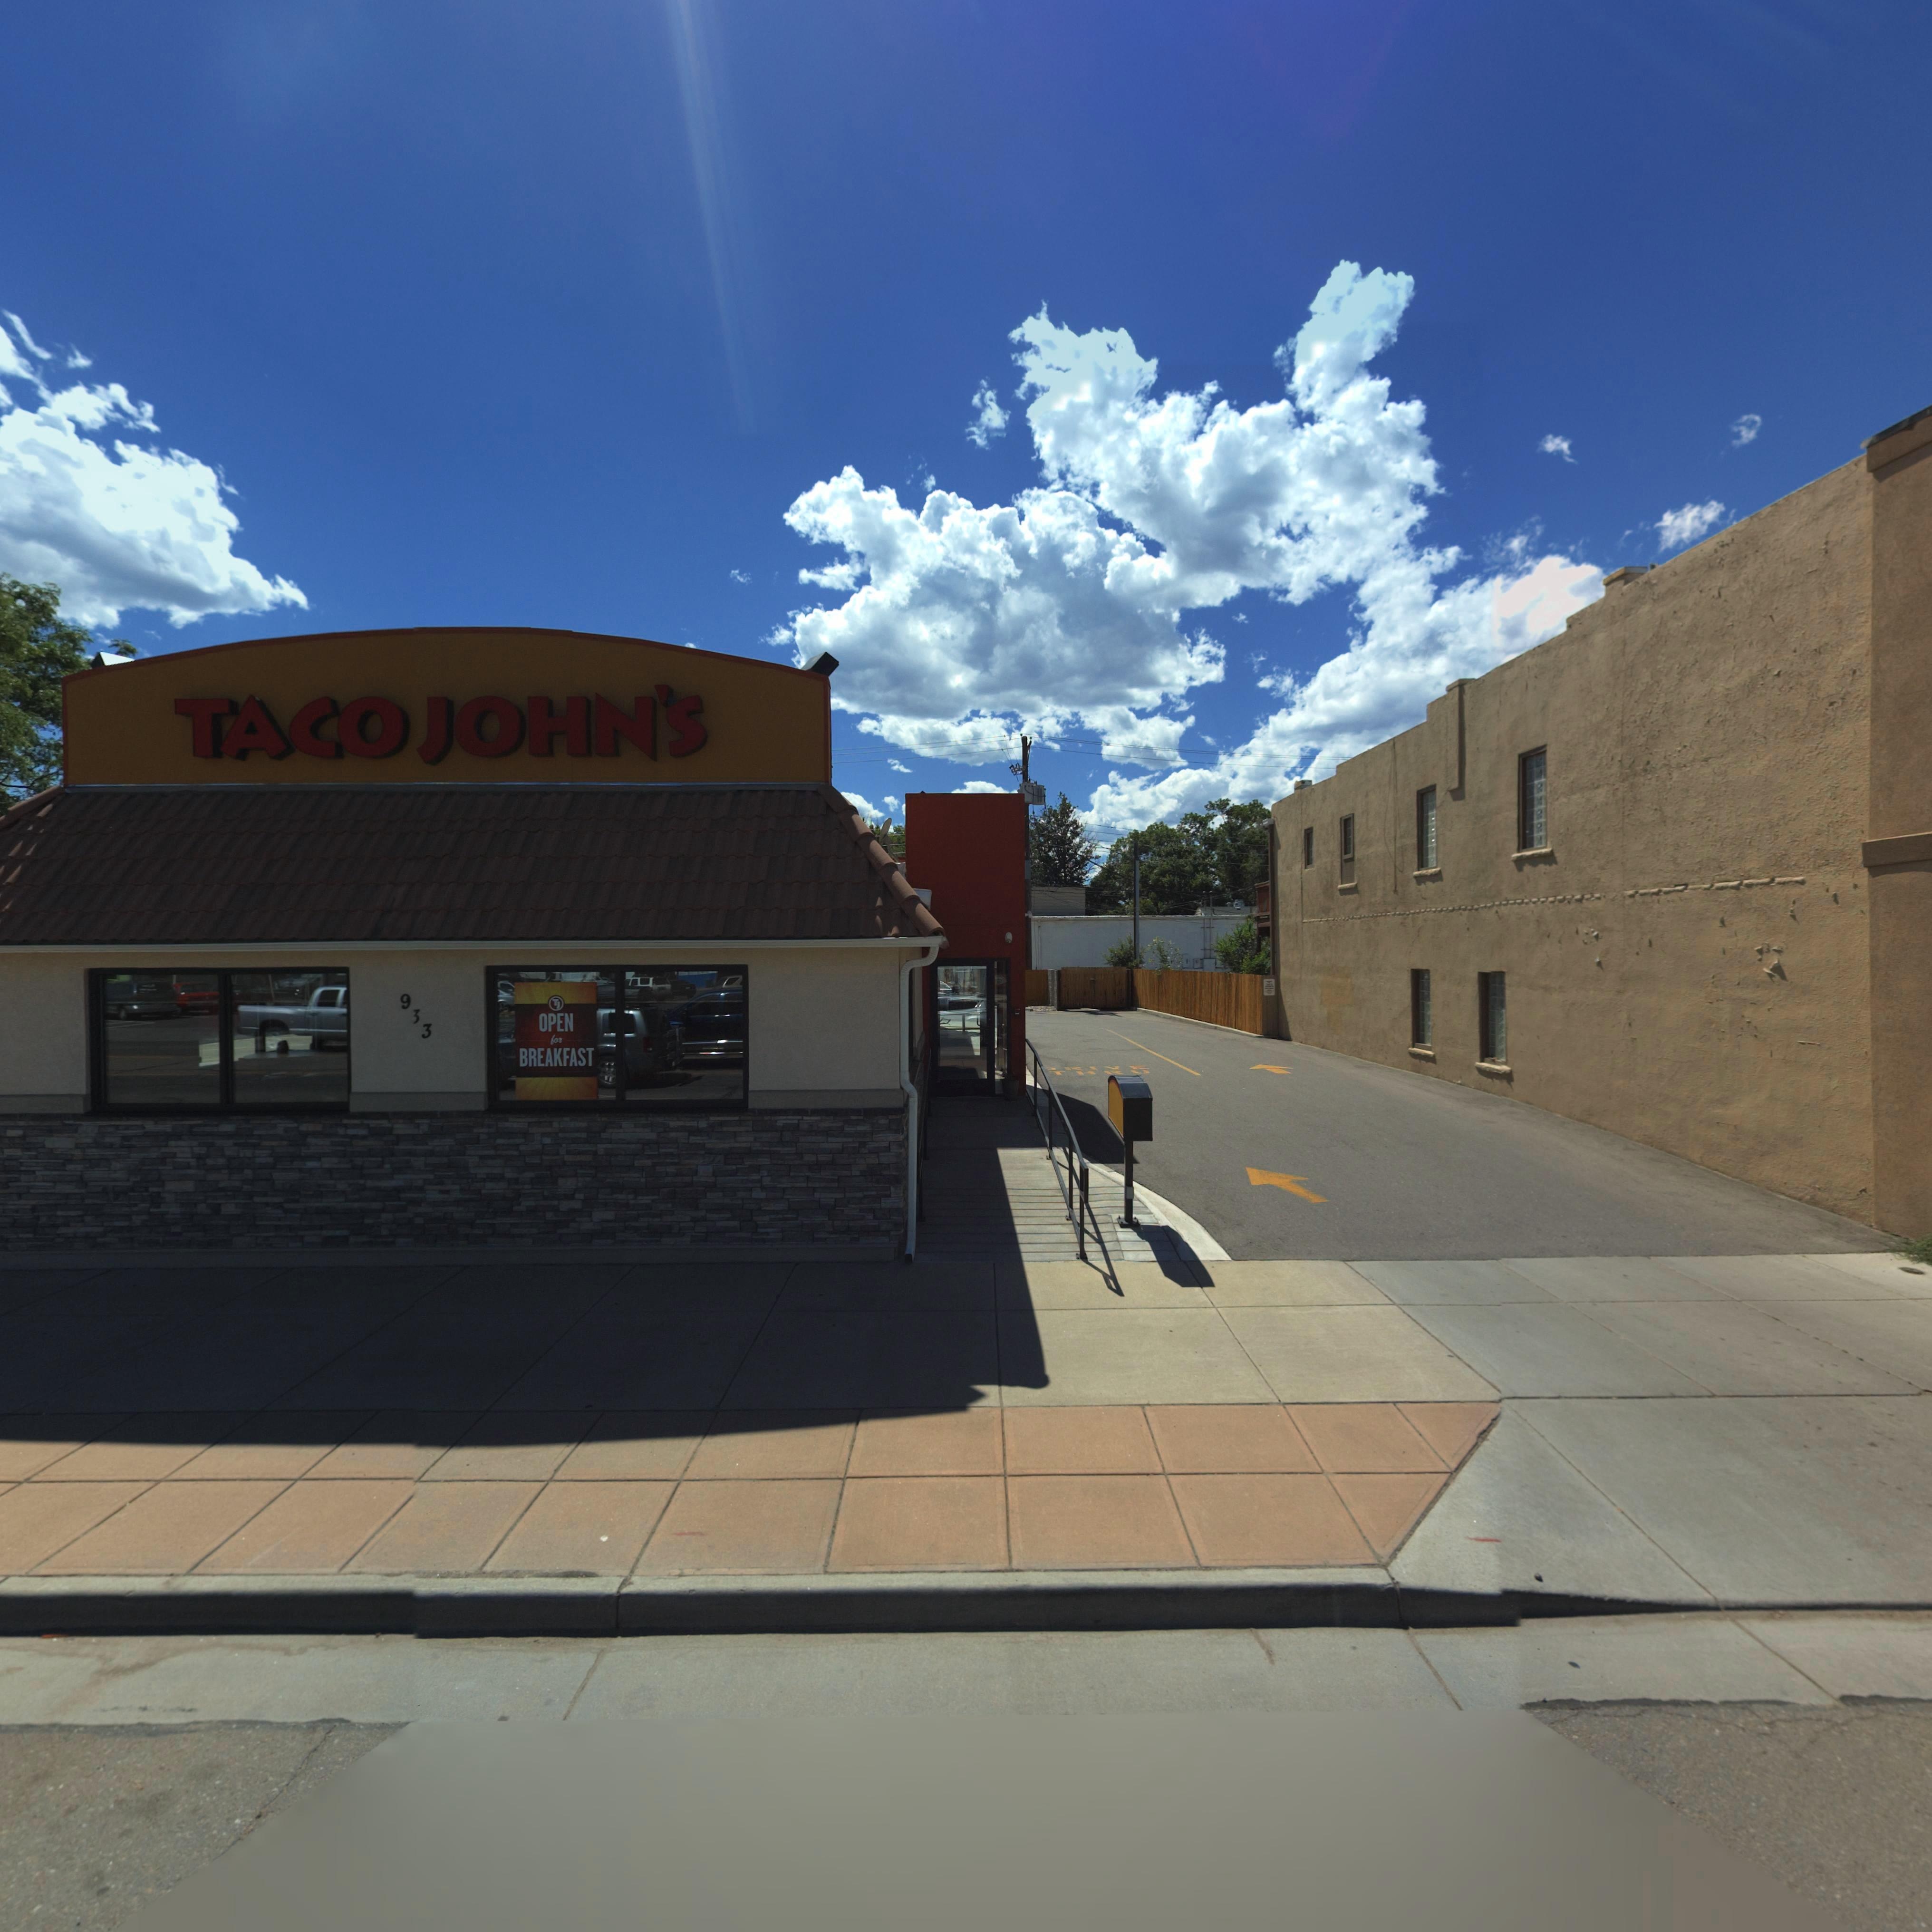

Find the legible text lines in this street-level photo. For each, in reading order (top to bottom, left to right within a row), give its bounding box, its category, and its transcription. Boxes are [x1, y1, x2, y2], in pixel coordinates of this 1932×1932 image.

[172, 682, 709, 767] BusinessName: TACO JOHN'S
[399, 993, 432, 1039] StreetNumber: 933